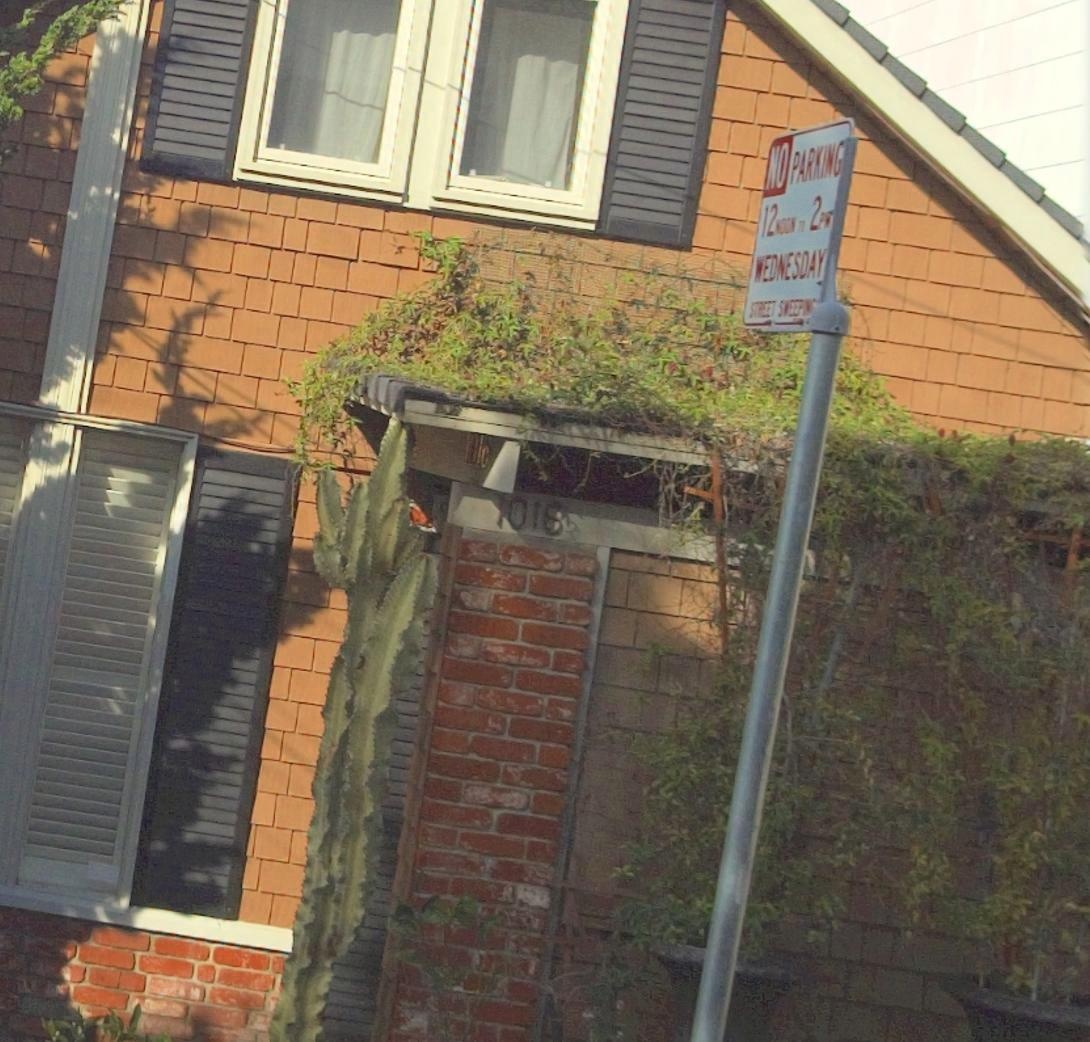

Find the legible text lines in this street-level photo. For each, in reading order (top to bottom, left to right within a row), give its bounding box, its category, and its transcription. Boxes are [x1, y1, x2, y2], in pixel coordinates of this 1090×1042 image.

[763, 140, 792, 193] None: NO
[788, 137, 848, 186] None: PARKING\
[761, 202, 780, 239] None: 12
[776, 215, 796, 236] None: NOON
[796, 219, 806, 234] None: TO
[808, 195, 826, 231] None: 2
[817, 208, 835, 232] None: PM
[752, 247, 830, 285] None: WEDNESDAY
[748, 300, 777, 319] None: STREET
[775, 297, 821, 317] None: SWEEP***
[494, 493, 564, 537] StreetNumber: 101*